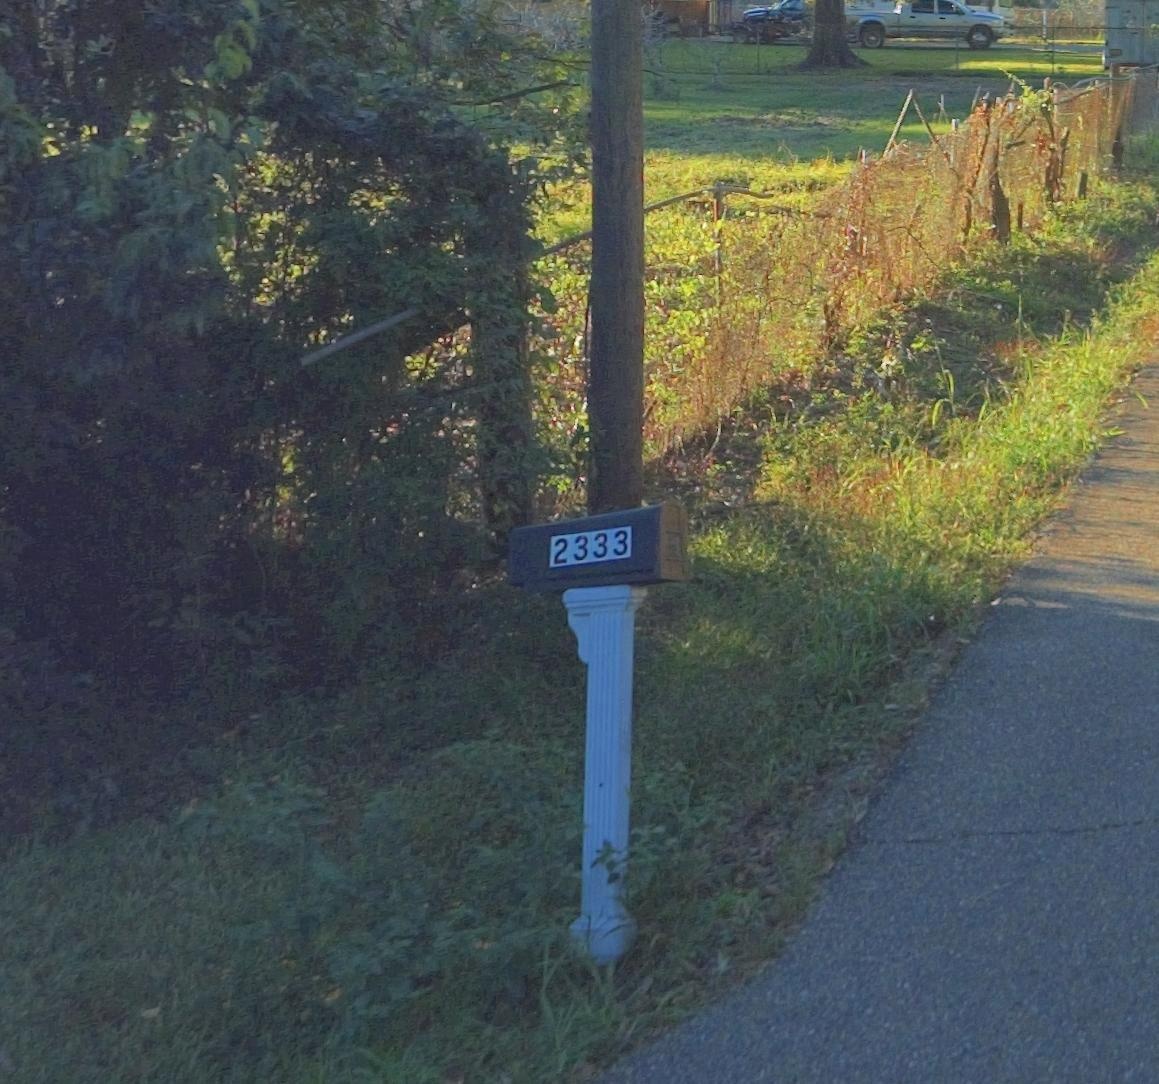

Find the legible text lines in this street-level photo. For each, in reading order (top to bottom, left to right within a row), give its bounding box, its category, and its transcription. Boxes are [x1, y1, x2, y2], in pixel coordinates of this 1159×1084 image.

[551, 526, 630, 568] StreetNumber: 2333